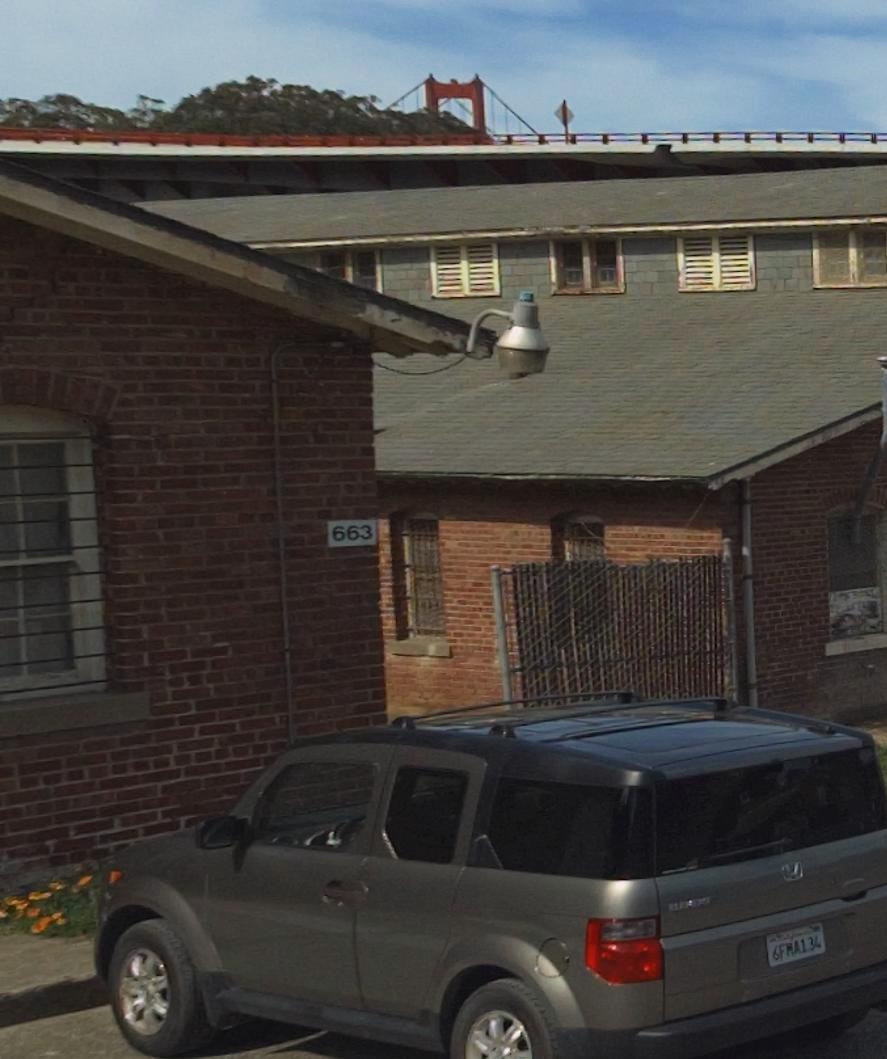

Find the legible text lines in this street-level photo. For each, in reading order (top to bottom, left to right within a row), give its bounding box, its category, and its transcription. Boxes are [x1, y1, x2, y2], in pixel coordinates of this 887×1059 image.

[330, 522, 375, 544] StreetNumber: 663
[769, 932, 825, 965] None: 6F*A134